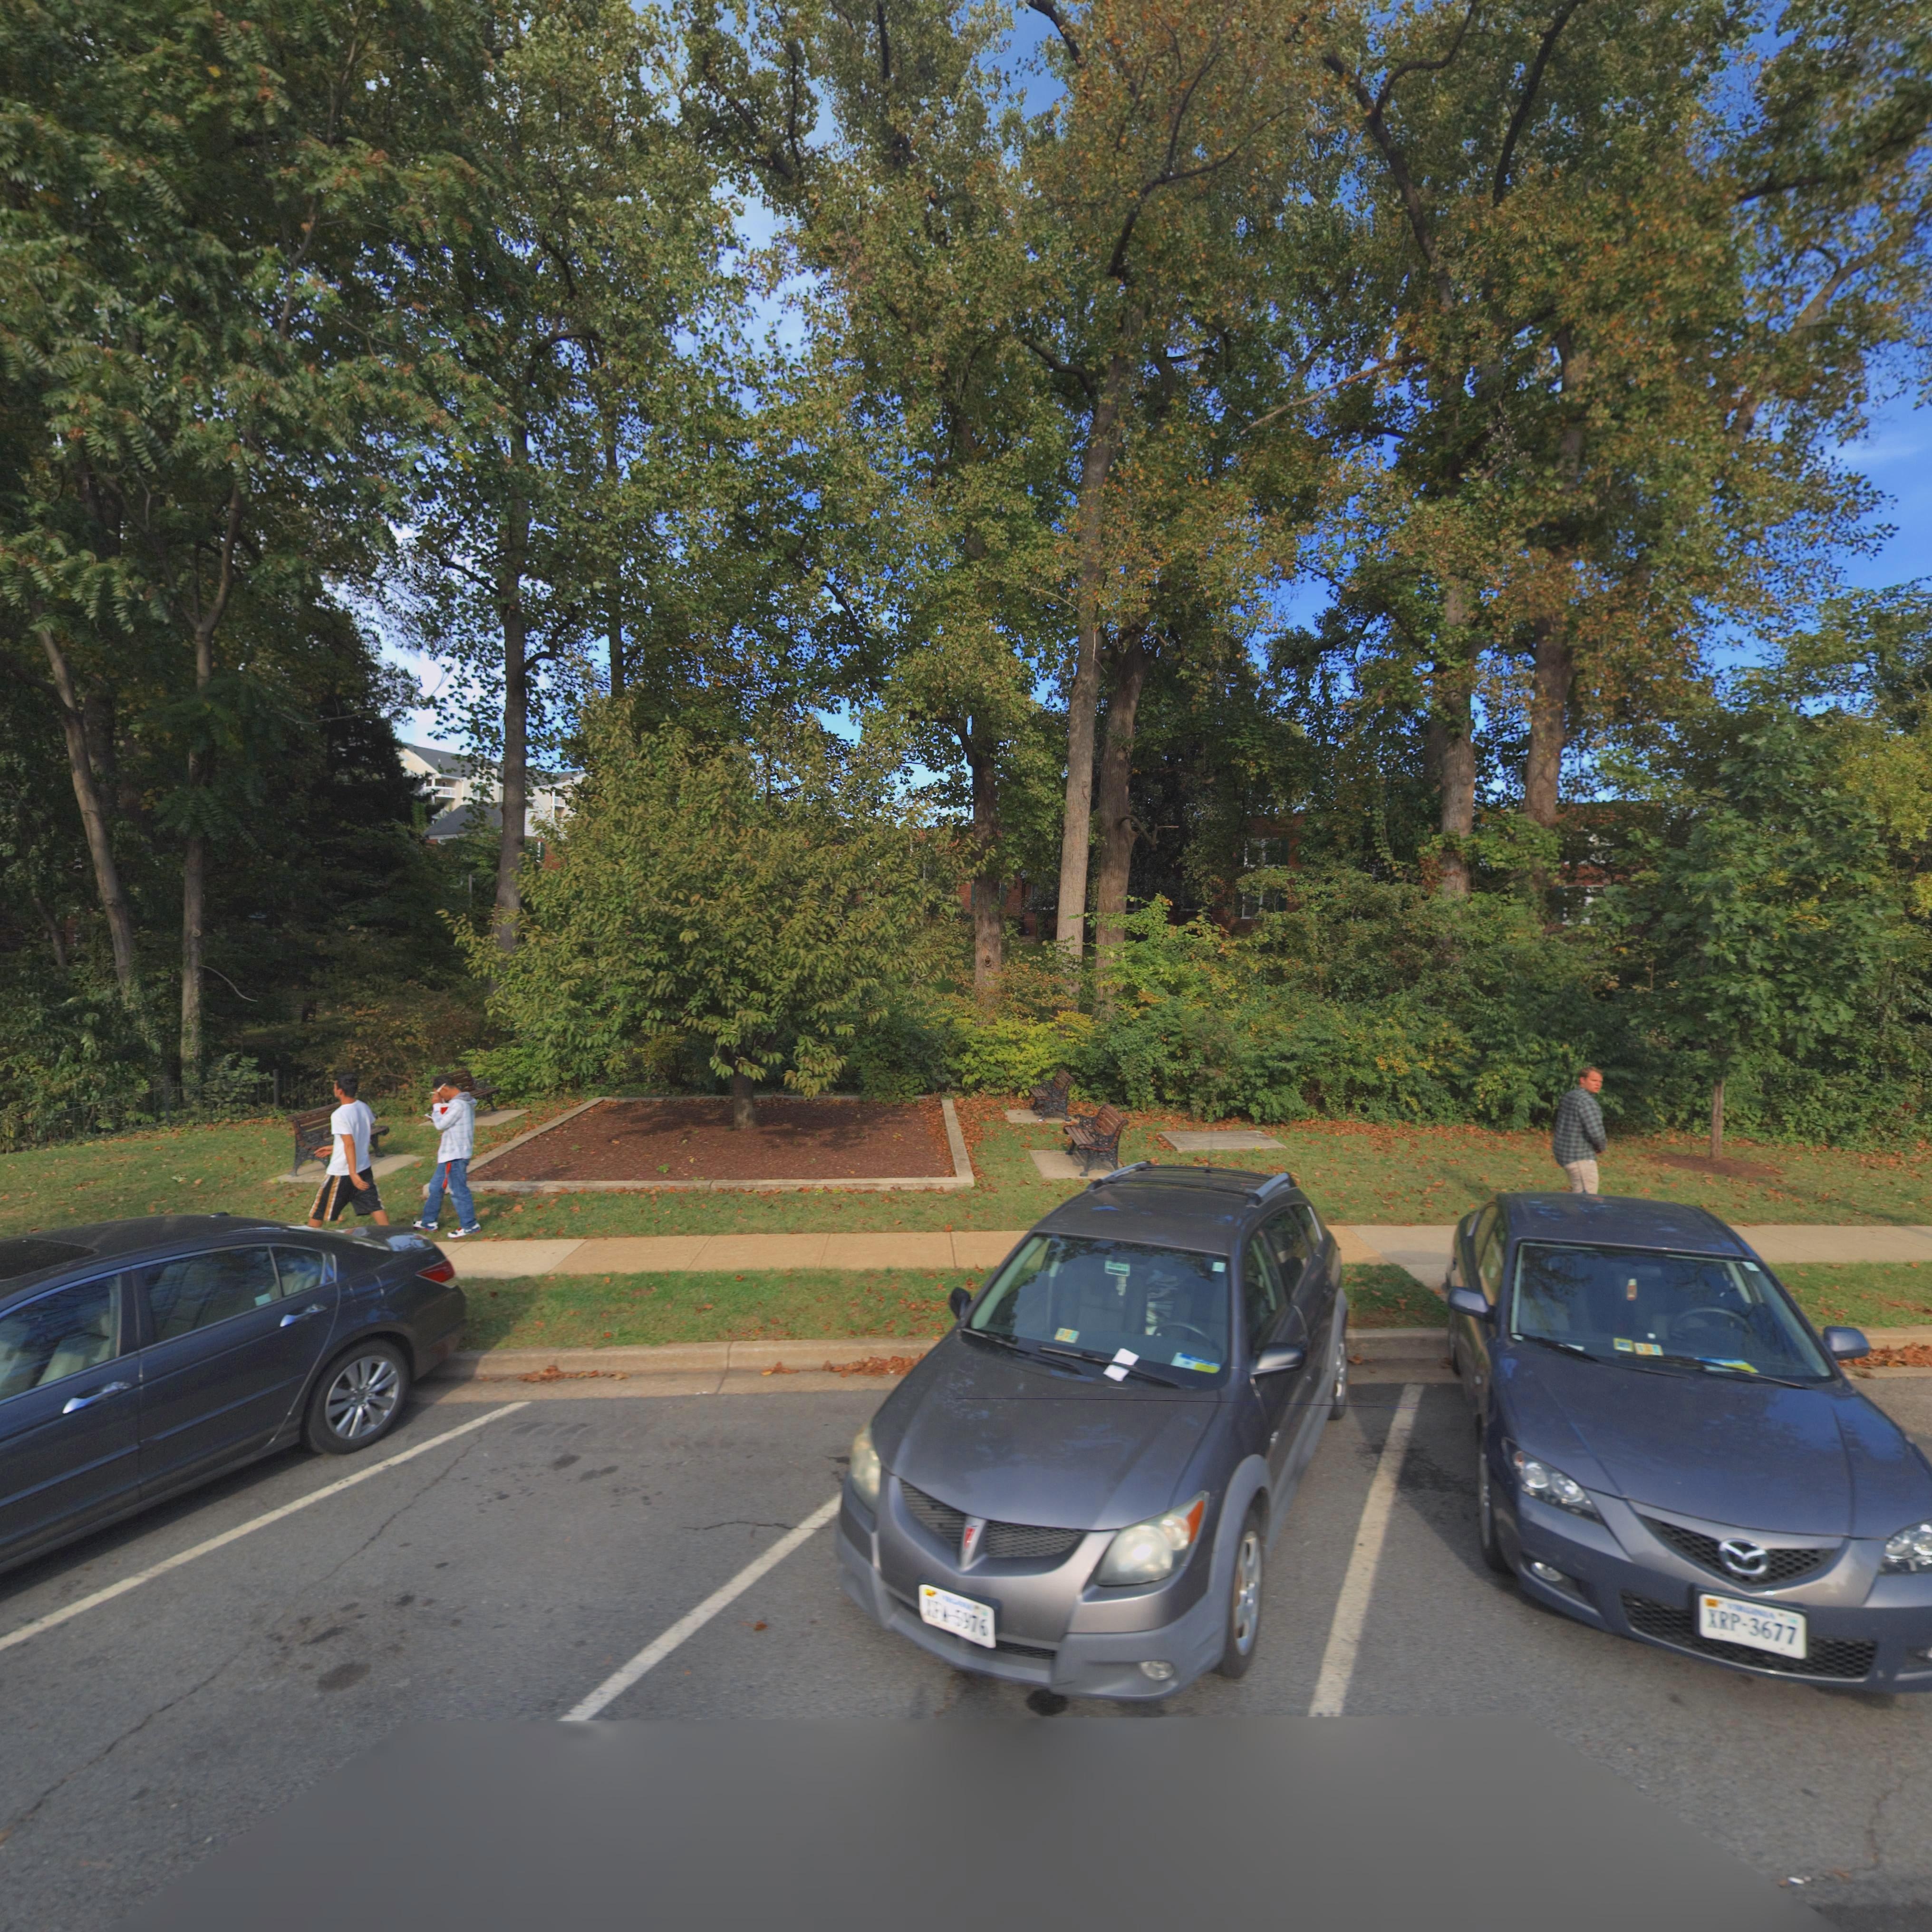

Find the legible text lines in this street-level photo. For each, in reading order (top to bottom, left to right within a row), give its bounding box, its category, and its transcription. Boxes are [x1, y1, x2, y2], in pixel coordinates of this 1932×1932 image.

[941, 1604, 989, 1638] None: A*5976
[1708, 1607, 1798, 1646] None: XRP-3677